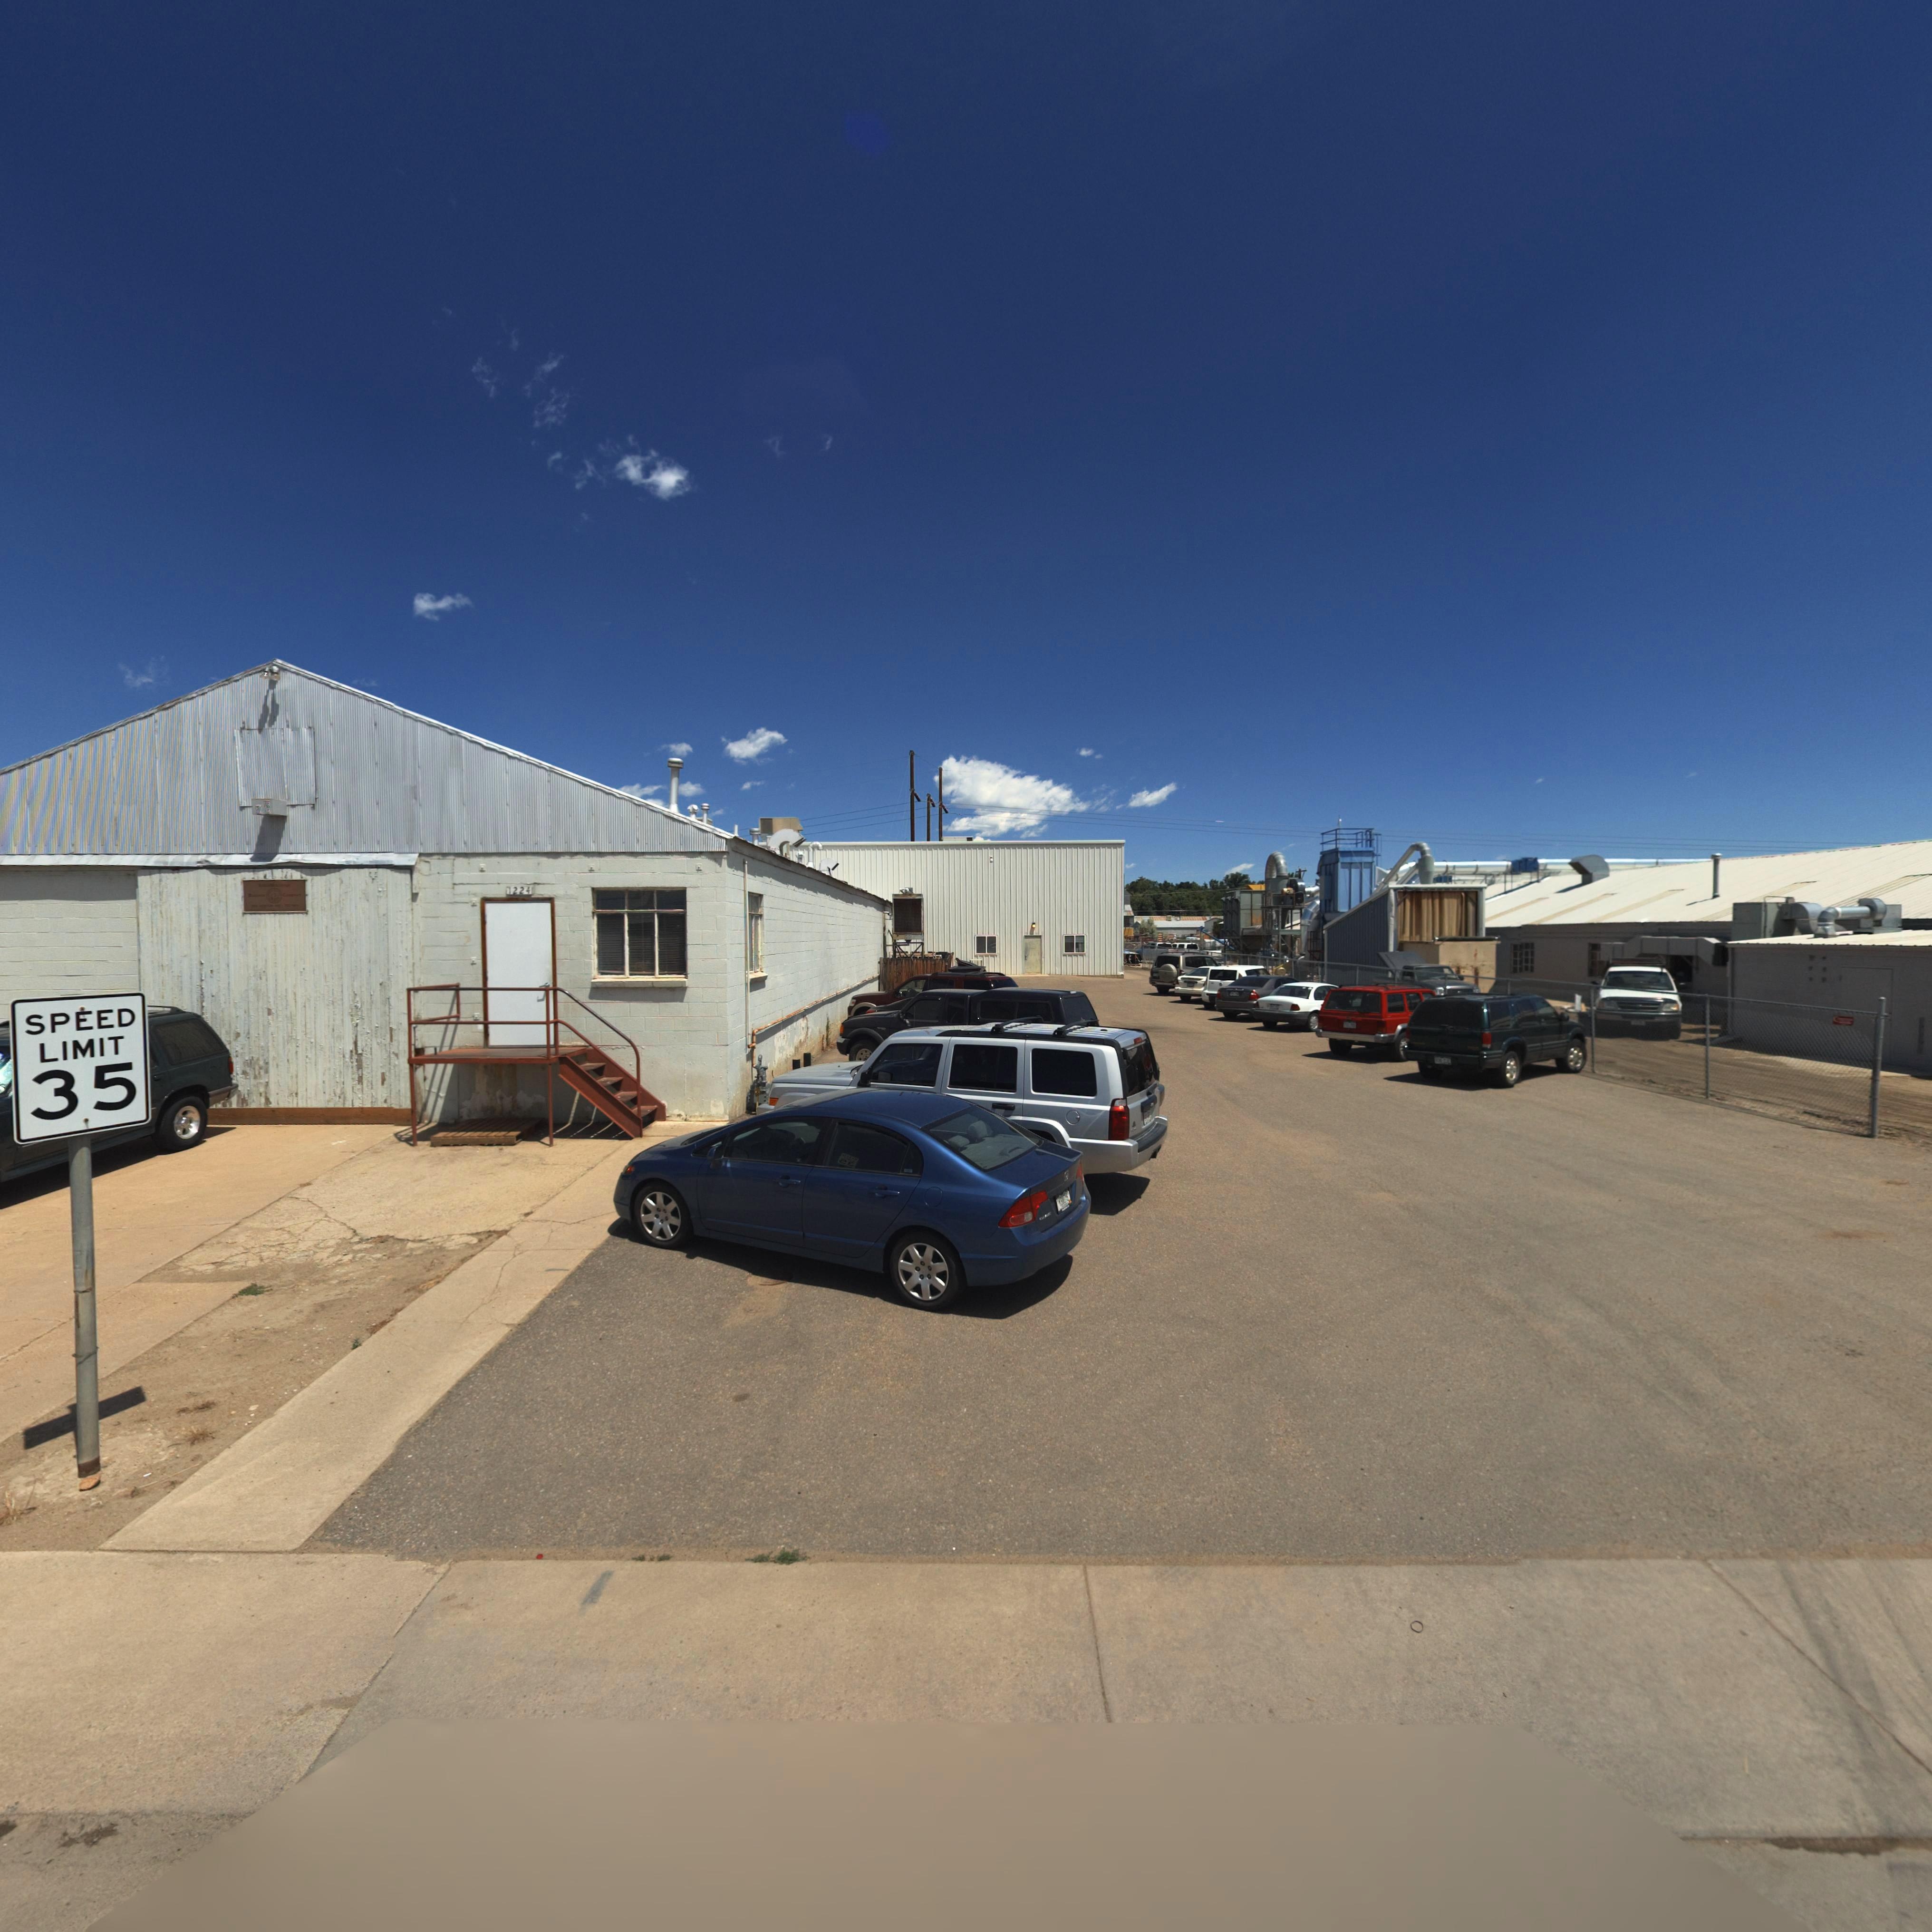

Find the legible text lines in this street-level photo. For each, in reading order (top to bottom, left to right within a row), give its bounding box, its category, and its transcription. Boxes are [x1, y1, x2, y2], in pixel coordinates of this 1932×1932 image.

[505, 886, 531, 894] StreetNumber: 1224